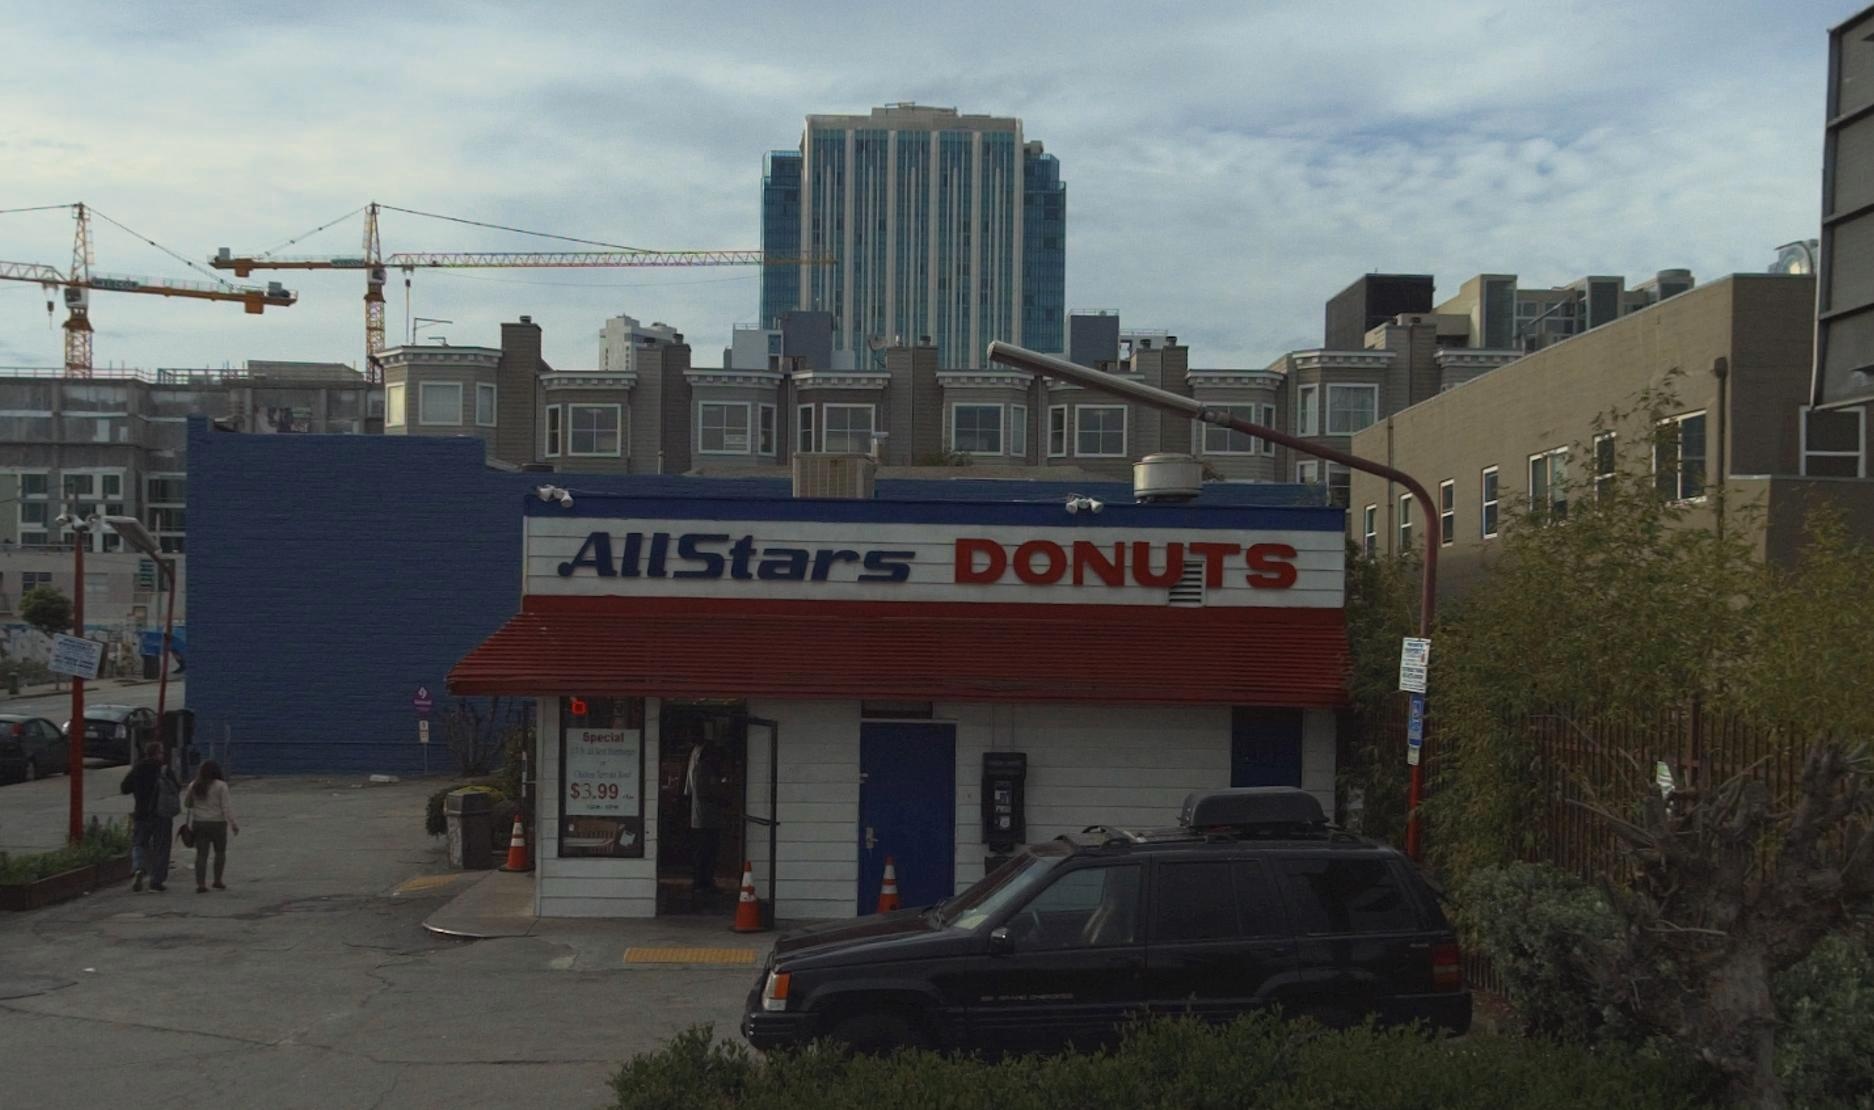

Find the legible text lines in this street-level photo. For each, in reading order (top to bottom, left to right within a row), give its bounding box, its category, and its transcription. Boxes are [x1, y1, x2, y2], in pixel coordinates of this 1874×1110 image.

[552, 527, 1302, 593] BusinessName: AllStars DONUTS
[581, 729, 626, 747] None: Special
[580, 780, 621, 802] None: 3.99